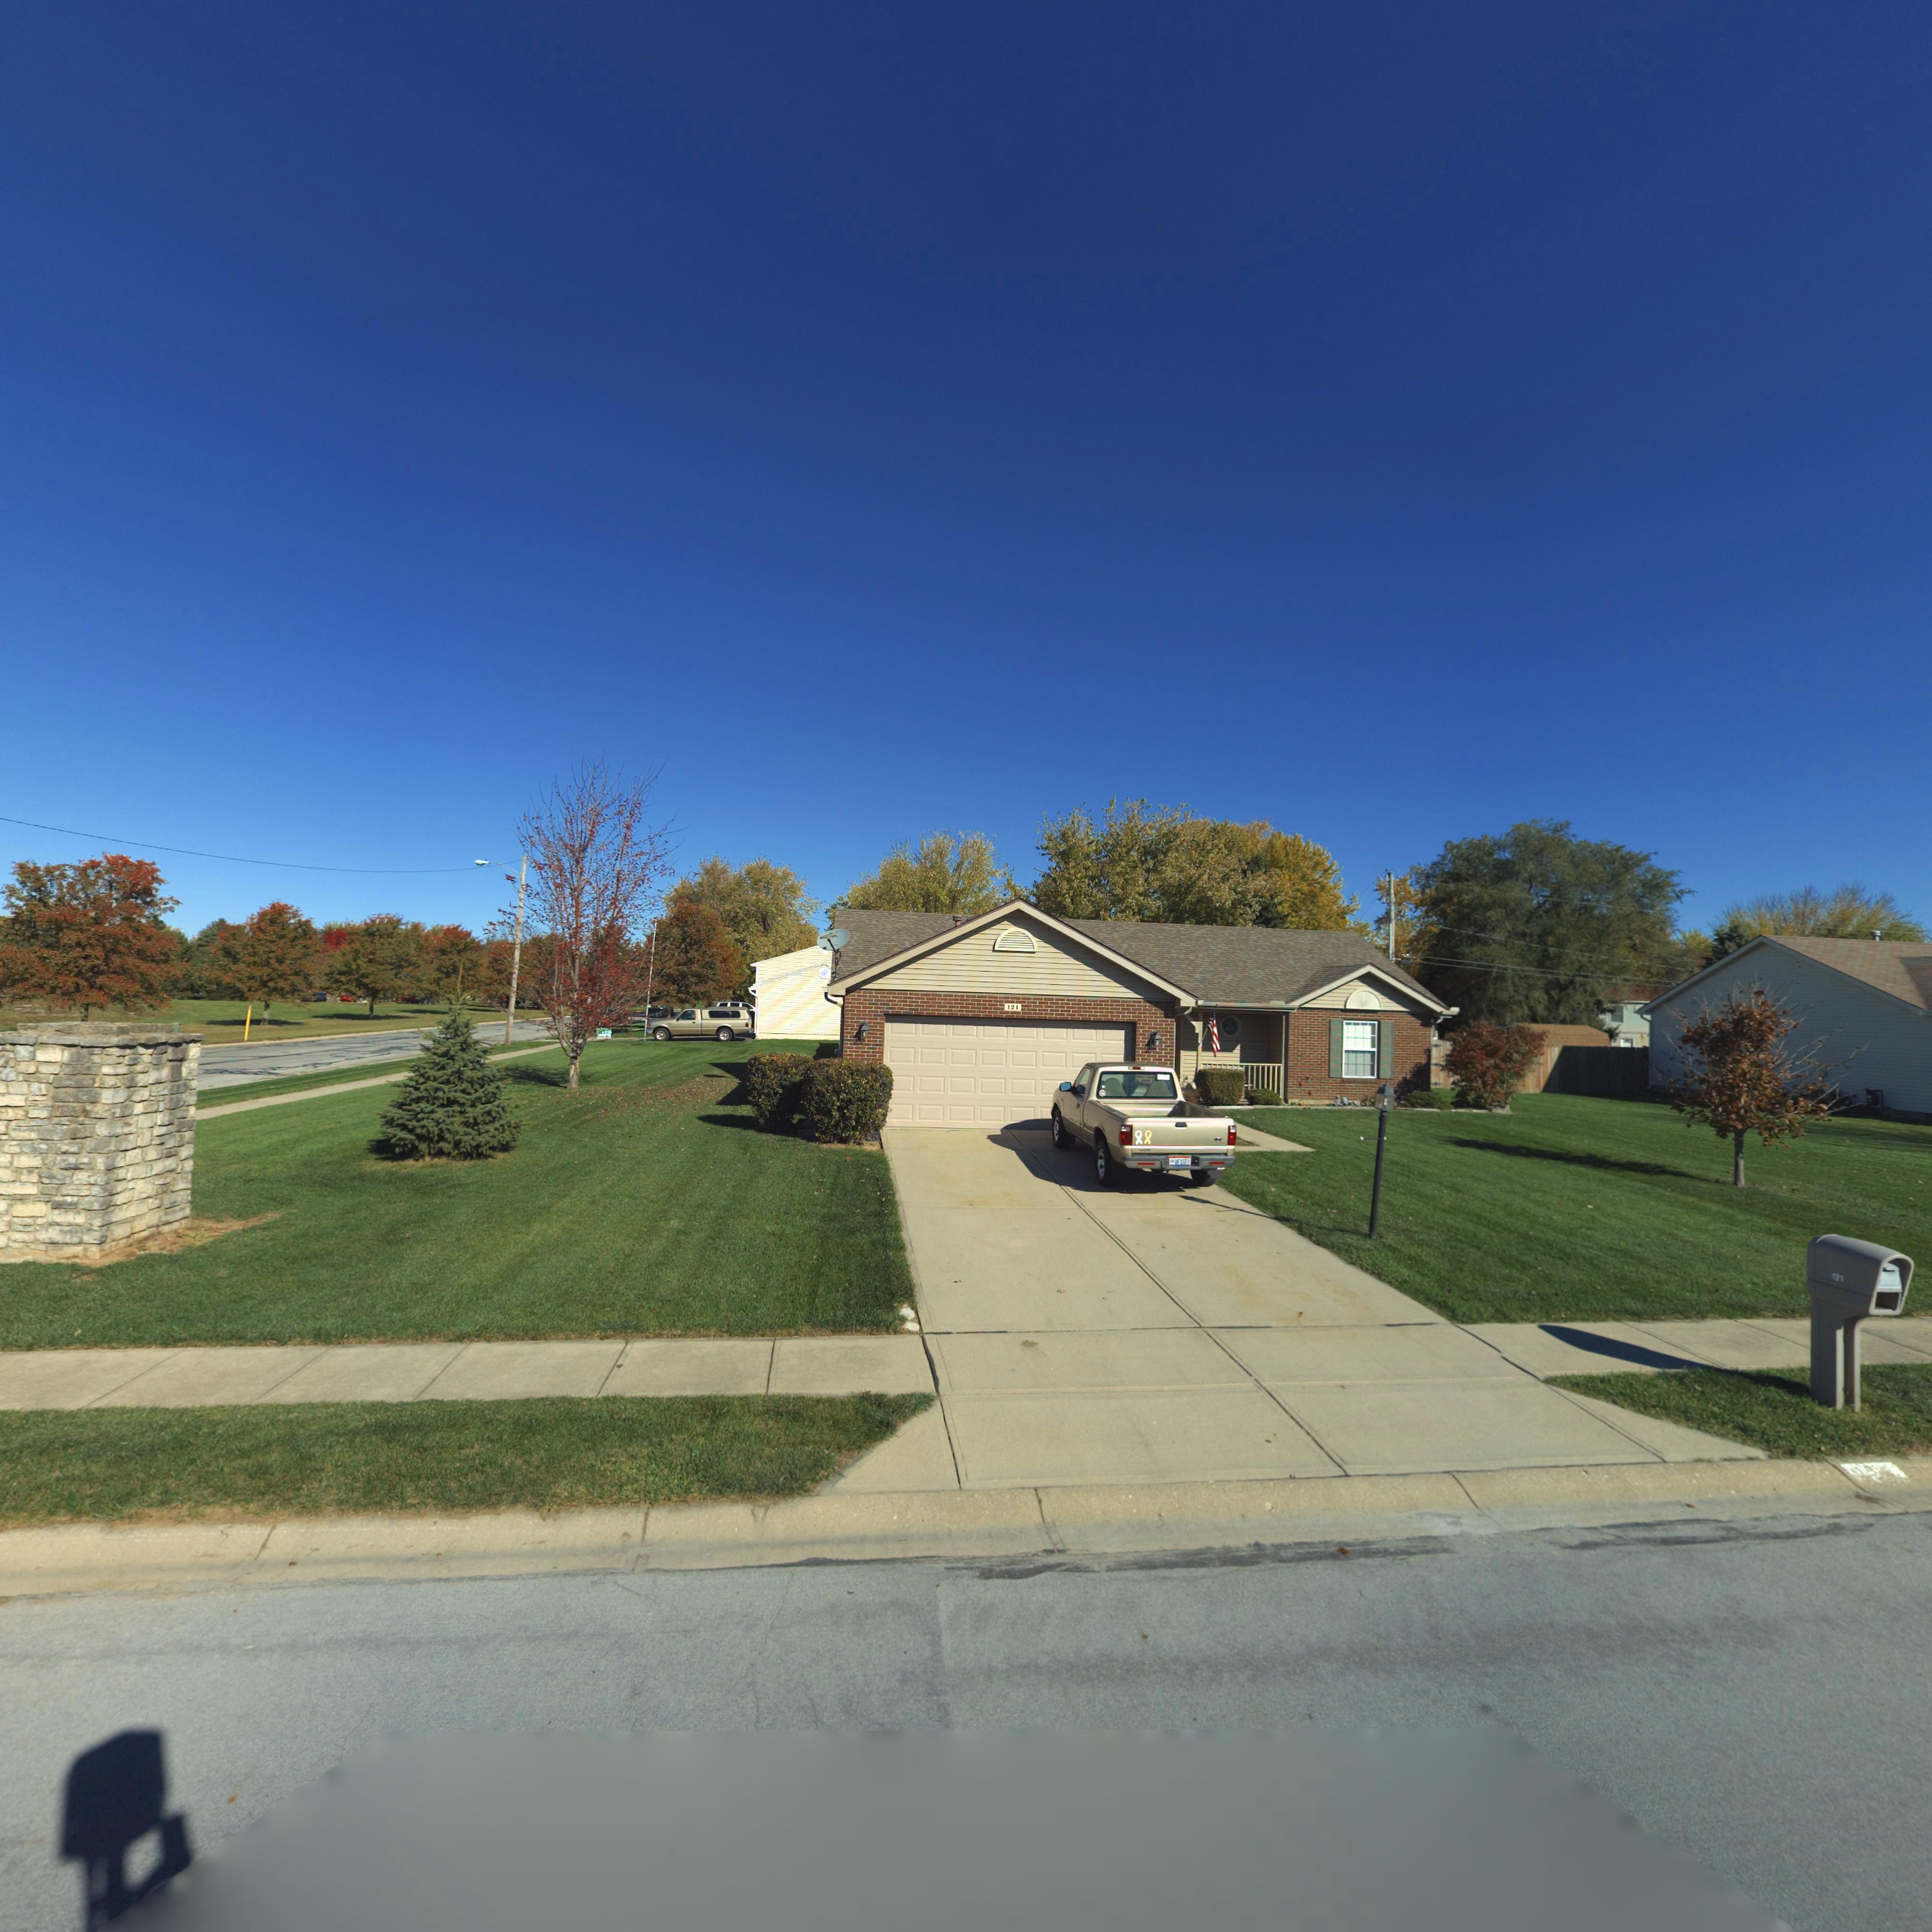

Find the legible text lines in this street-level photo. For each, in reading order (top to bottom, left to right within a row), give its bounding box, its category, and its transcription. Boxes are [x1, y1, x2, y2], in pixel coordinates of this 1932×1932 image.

[1007, 1004, 1019, 1010] StreetNumber: 121
[1831, 1272, 1845, 1284] StreetNumber: 121